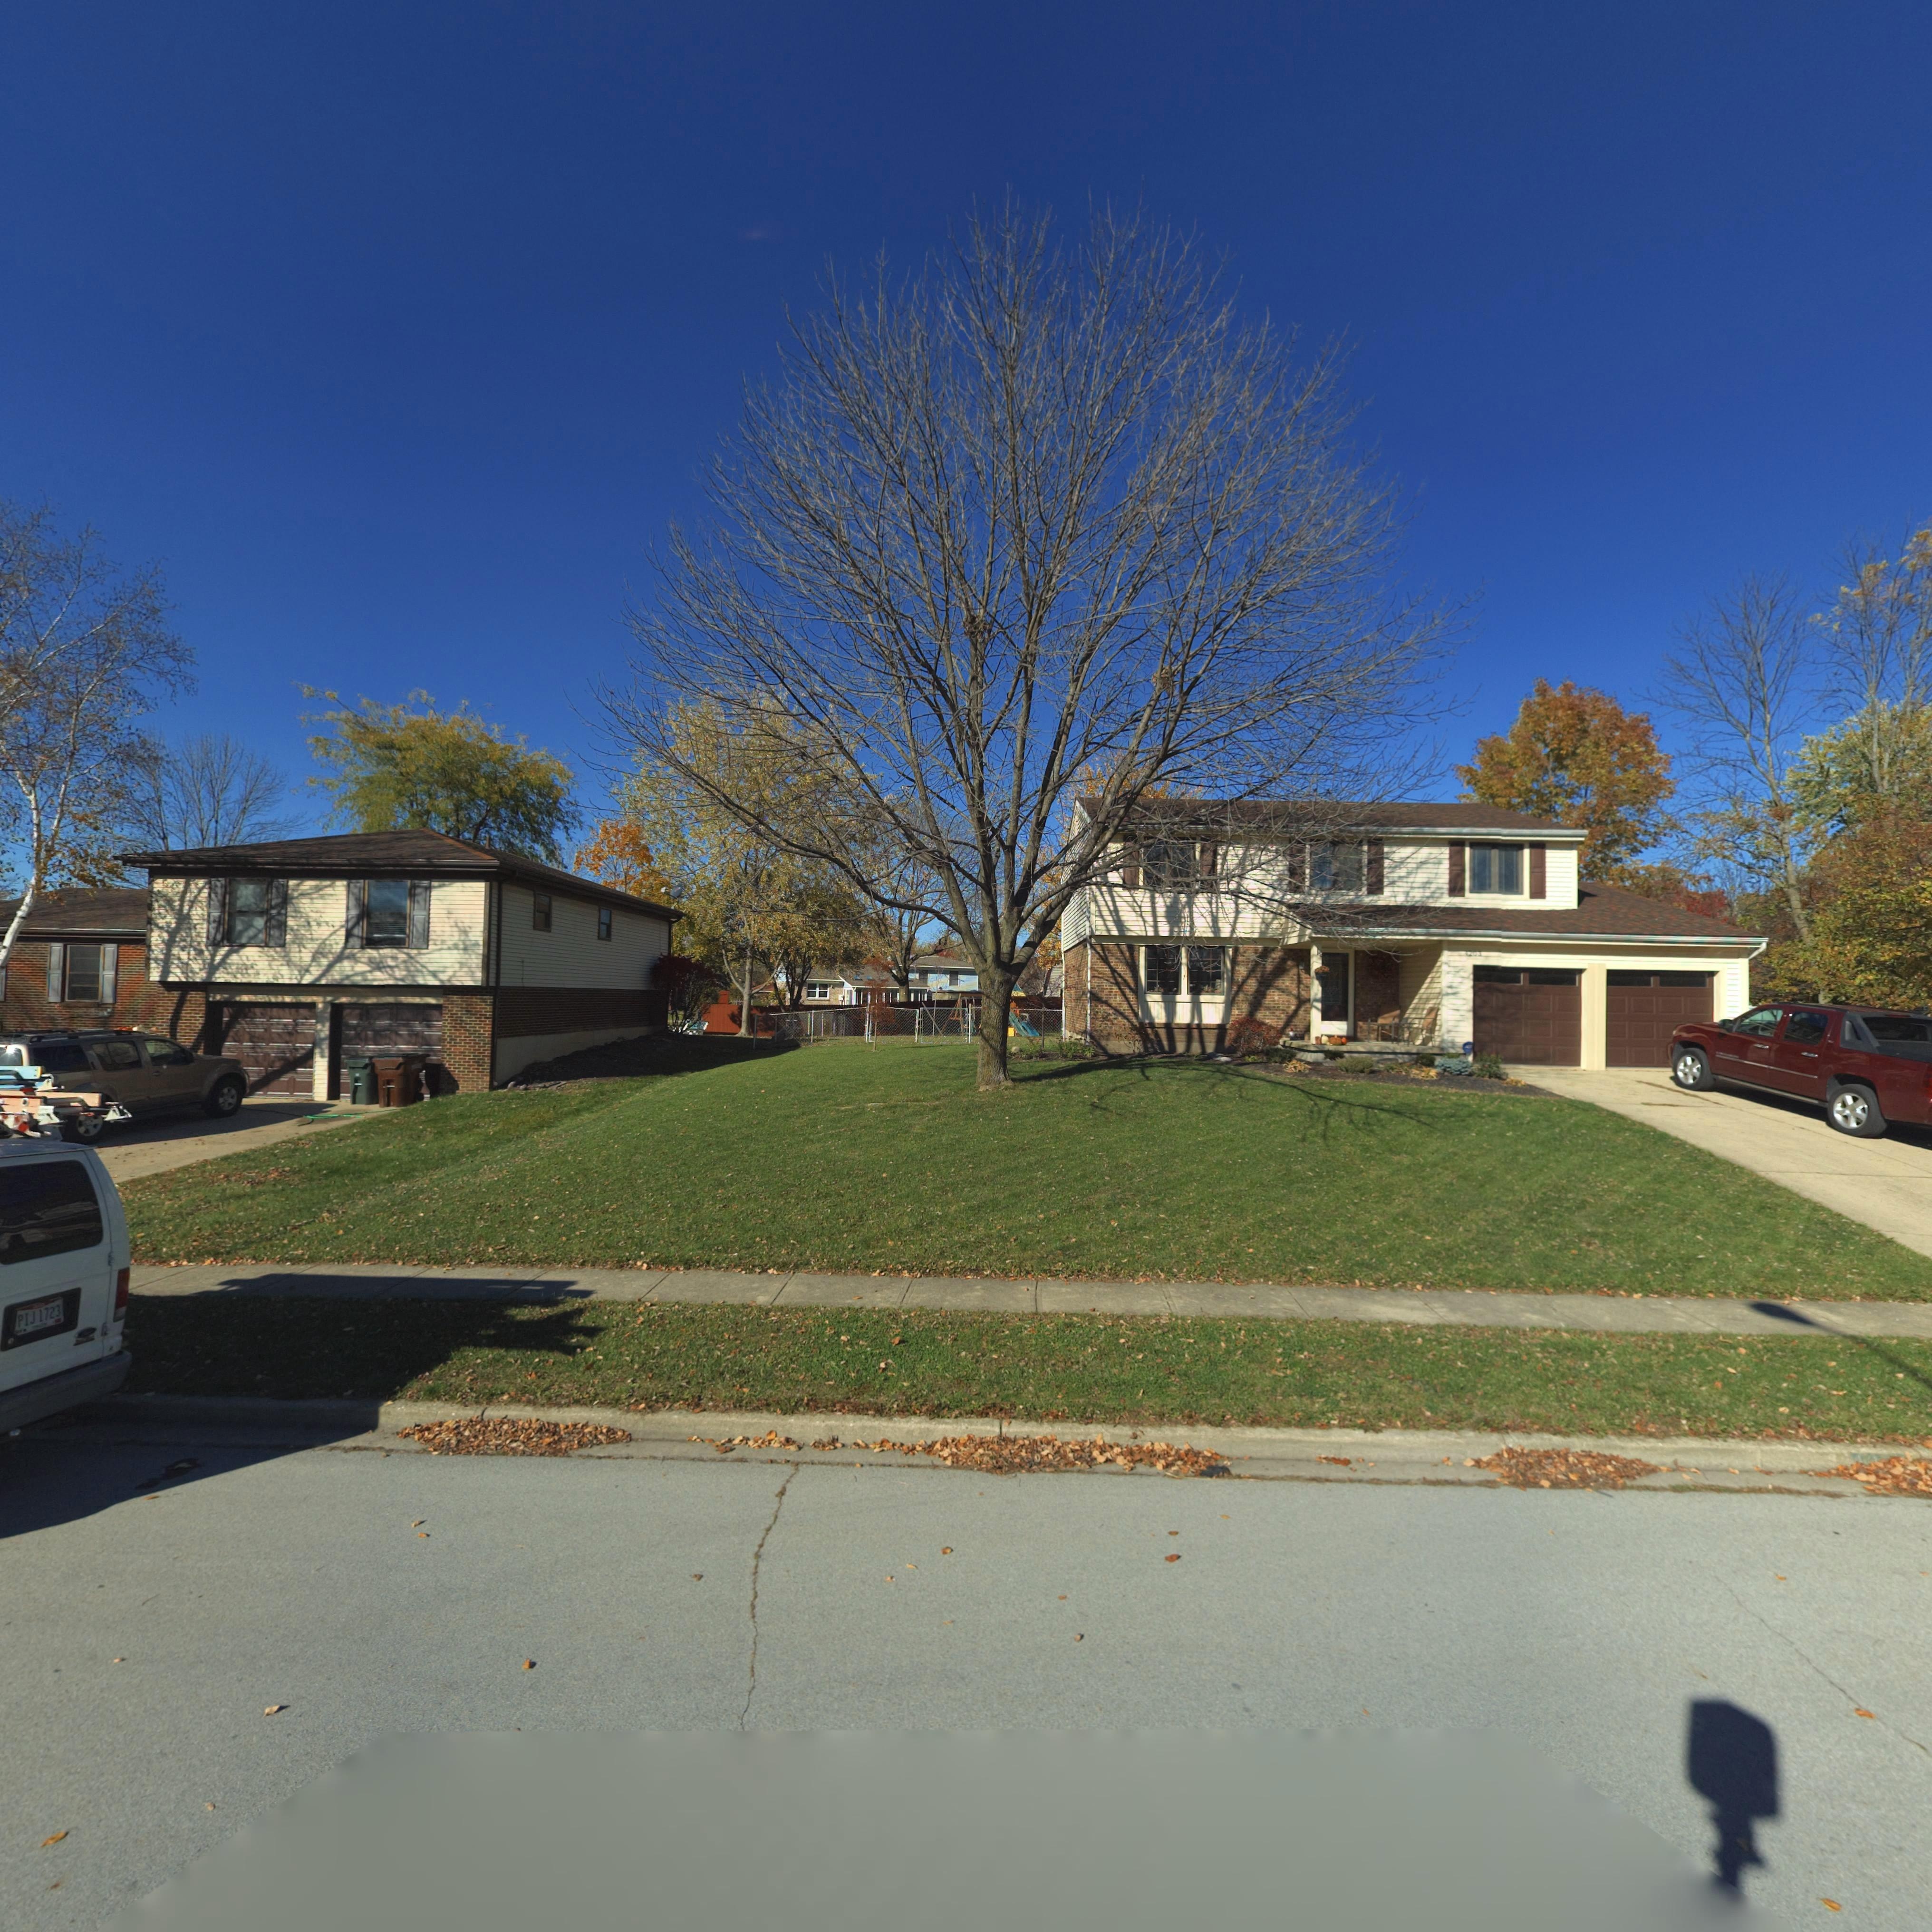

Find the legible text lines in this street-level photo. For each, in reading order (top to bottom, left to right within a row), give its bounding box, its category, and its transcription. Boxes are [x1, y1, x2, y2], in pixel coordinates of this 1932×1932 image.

[1464, 949, 1484, 958] StreetNumber: *203
[16, 1303, 62, 1330] None: PIJ*1723